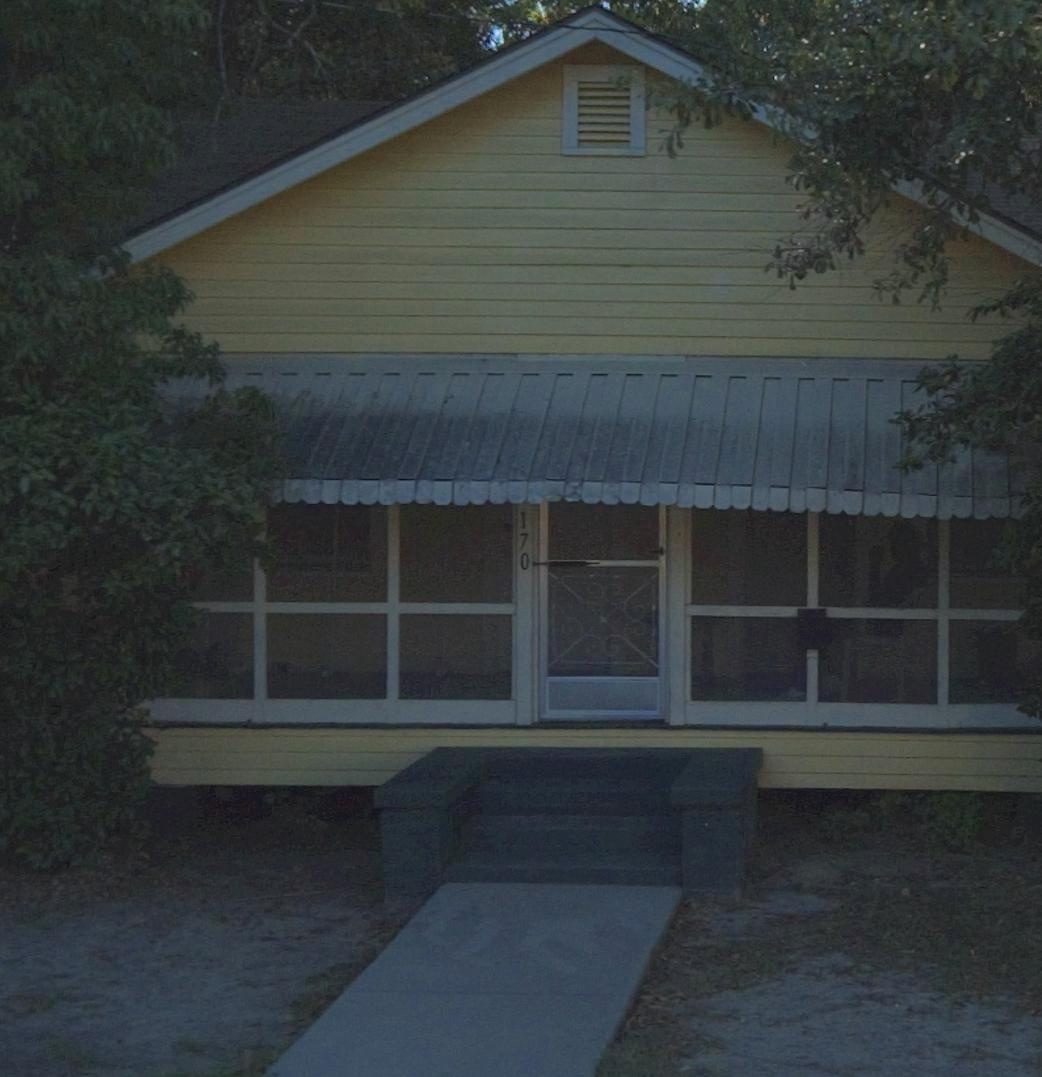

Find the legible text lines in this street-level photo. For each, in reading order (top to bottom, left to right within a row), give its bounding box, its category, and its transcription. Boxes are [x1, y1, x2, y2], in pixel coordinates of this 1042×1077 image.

[517, 508, 530, 573] StreetNumber: 170